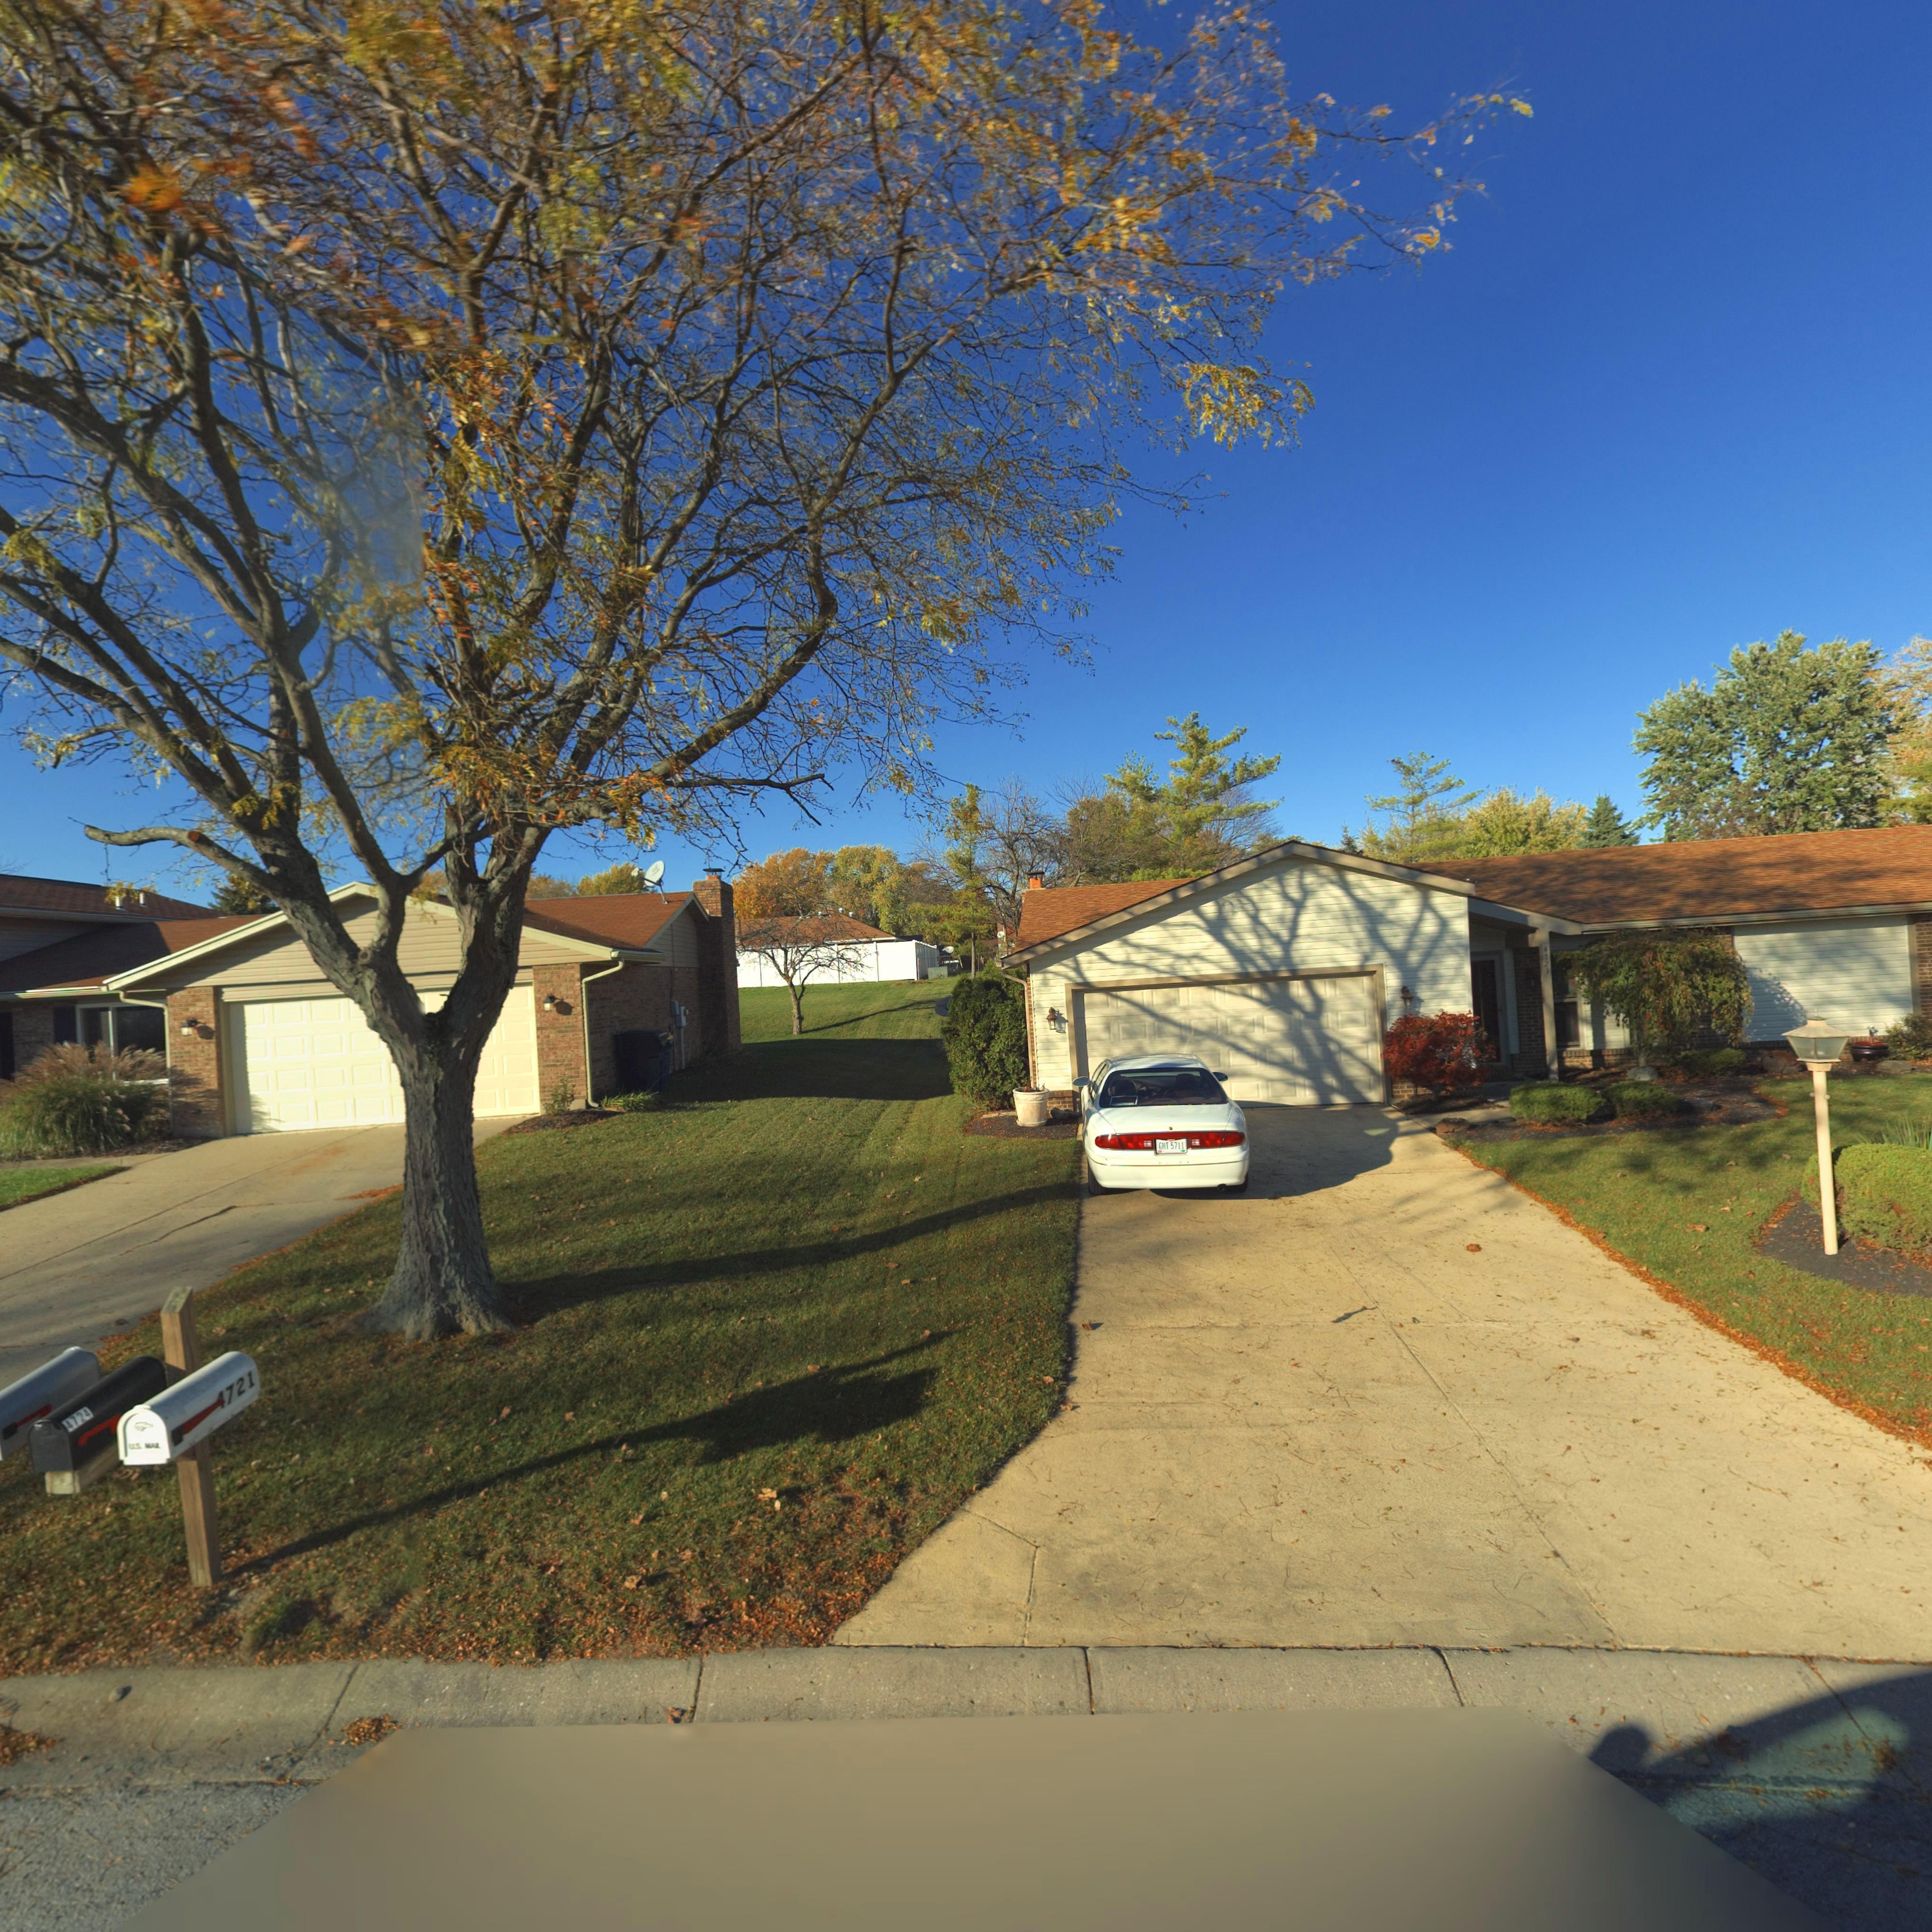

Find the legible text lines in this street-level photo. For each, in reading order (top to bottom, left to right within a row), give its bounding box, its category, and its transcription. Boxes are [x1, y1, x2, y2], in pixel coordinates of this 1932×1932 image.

[1543, 945, 1550, 975] StreetNumber: 4721
[216, 1367, 257, 1411] StreetNumber: *721
[64, 1406, 93, 1431] StreetNumber: 4724